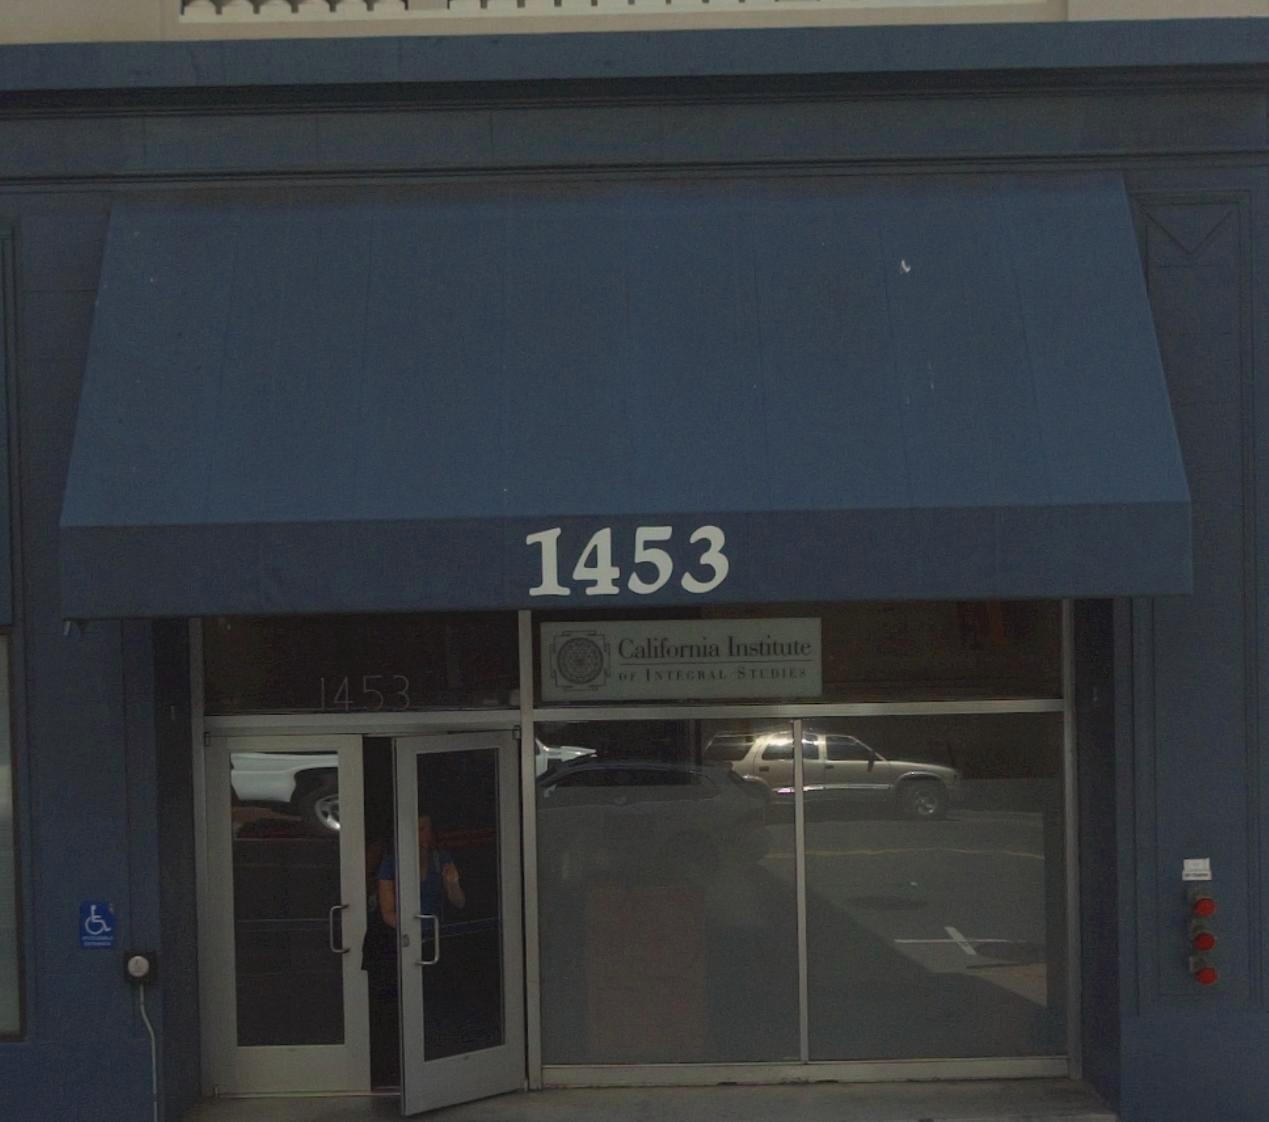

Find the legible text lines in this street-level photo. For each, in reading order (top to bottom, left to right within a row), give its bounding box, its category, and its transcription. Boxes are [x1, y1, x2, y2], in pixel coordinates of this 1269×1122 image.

[524, 521, 735, 598] StreetNumber: 1453
[618, 633, 814, 660] BusinessName: California Institute
[318, 673, 411, 713] StreetNumber: 1453
[616, 664, 809, 682] BusinessName: OF INTECRAL STUDIES